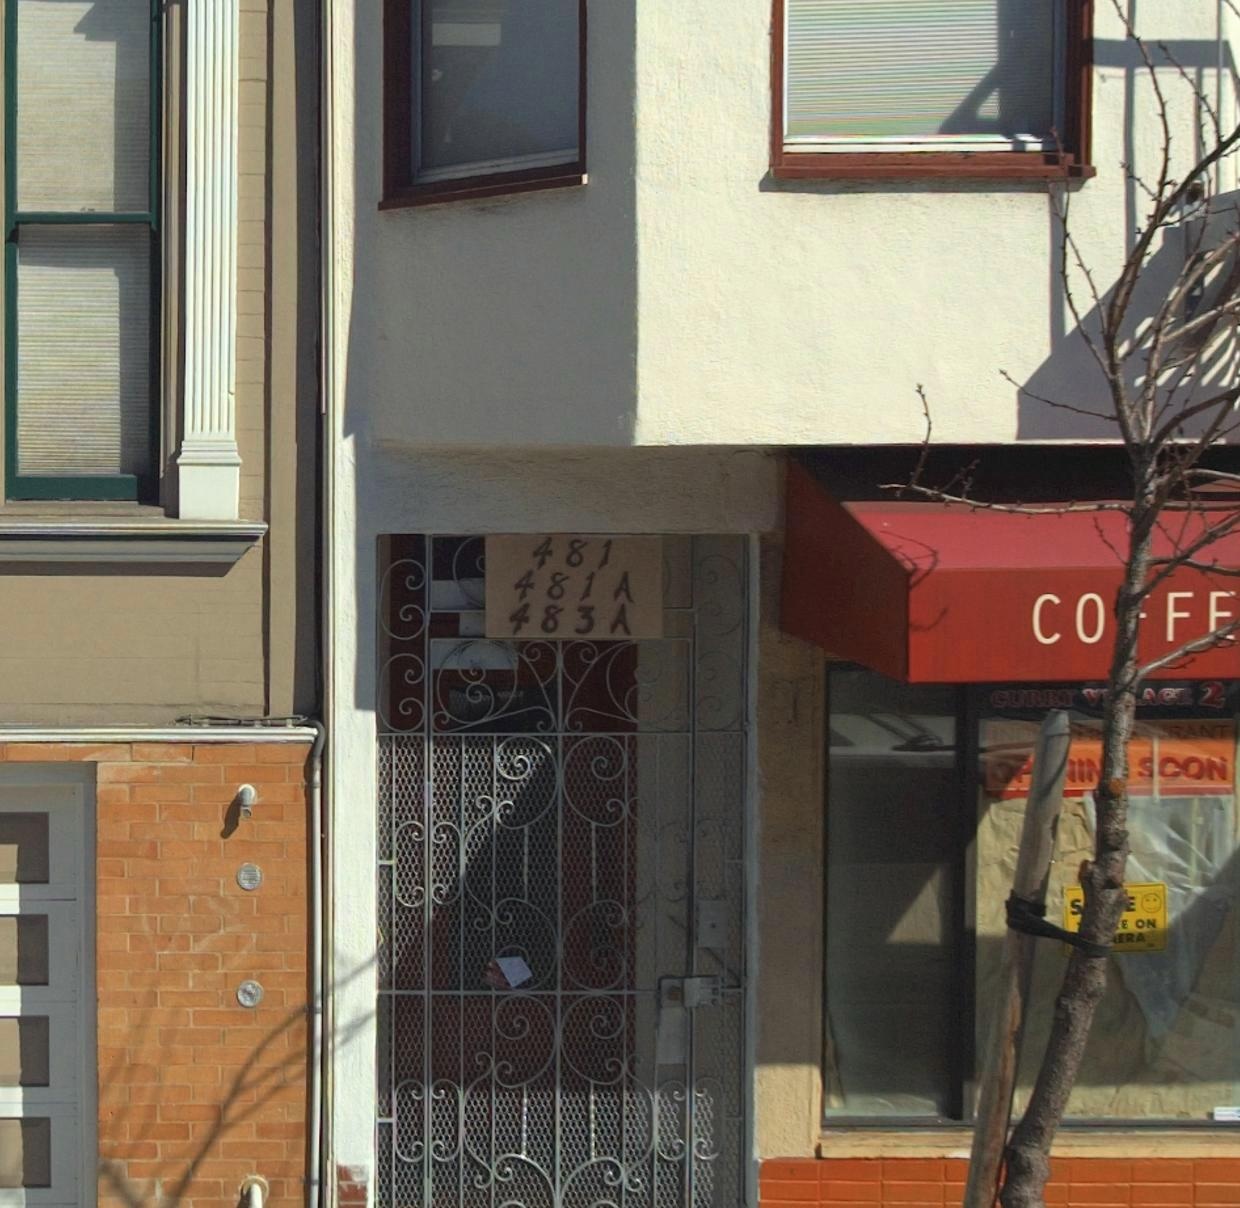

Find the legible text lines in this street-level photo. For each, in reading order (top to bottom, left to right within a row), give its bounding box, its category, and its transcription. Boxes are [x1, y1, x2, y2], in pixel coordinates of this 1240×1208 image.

[530, 536, 615, 571] StreetNumber: 481
[510, 567, 636, 606] StreetNumber: 481A
[507, 601, 634, 639] StreetNumber: 483A
[1030, 589, 1238, 647] BusinessName: CO*F*
[988, 679, 1229, 711] None: CURRY V***AGE 2
[985, 755, 1229, 787] None: OP**I** SOON